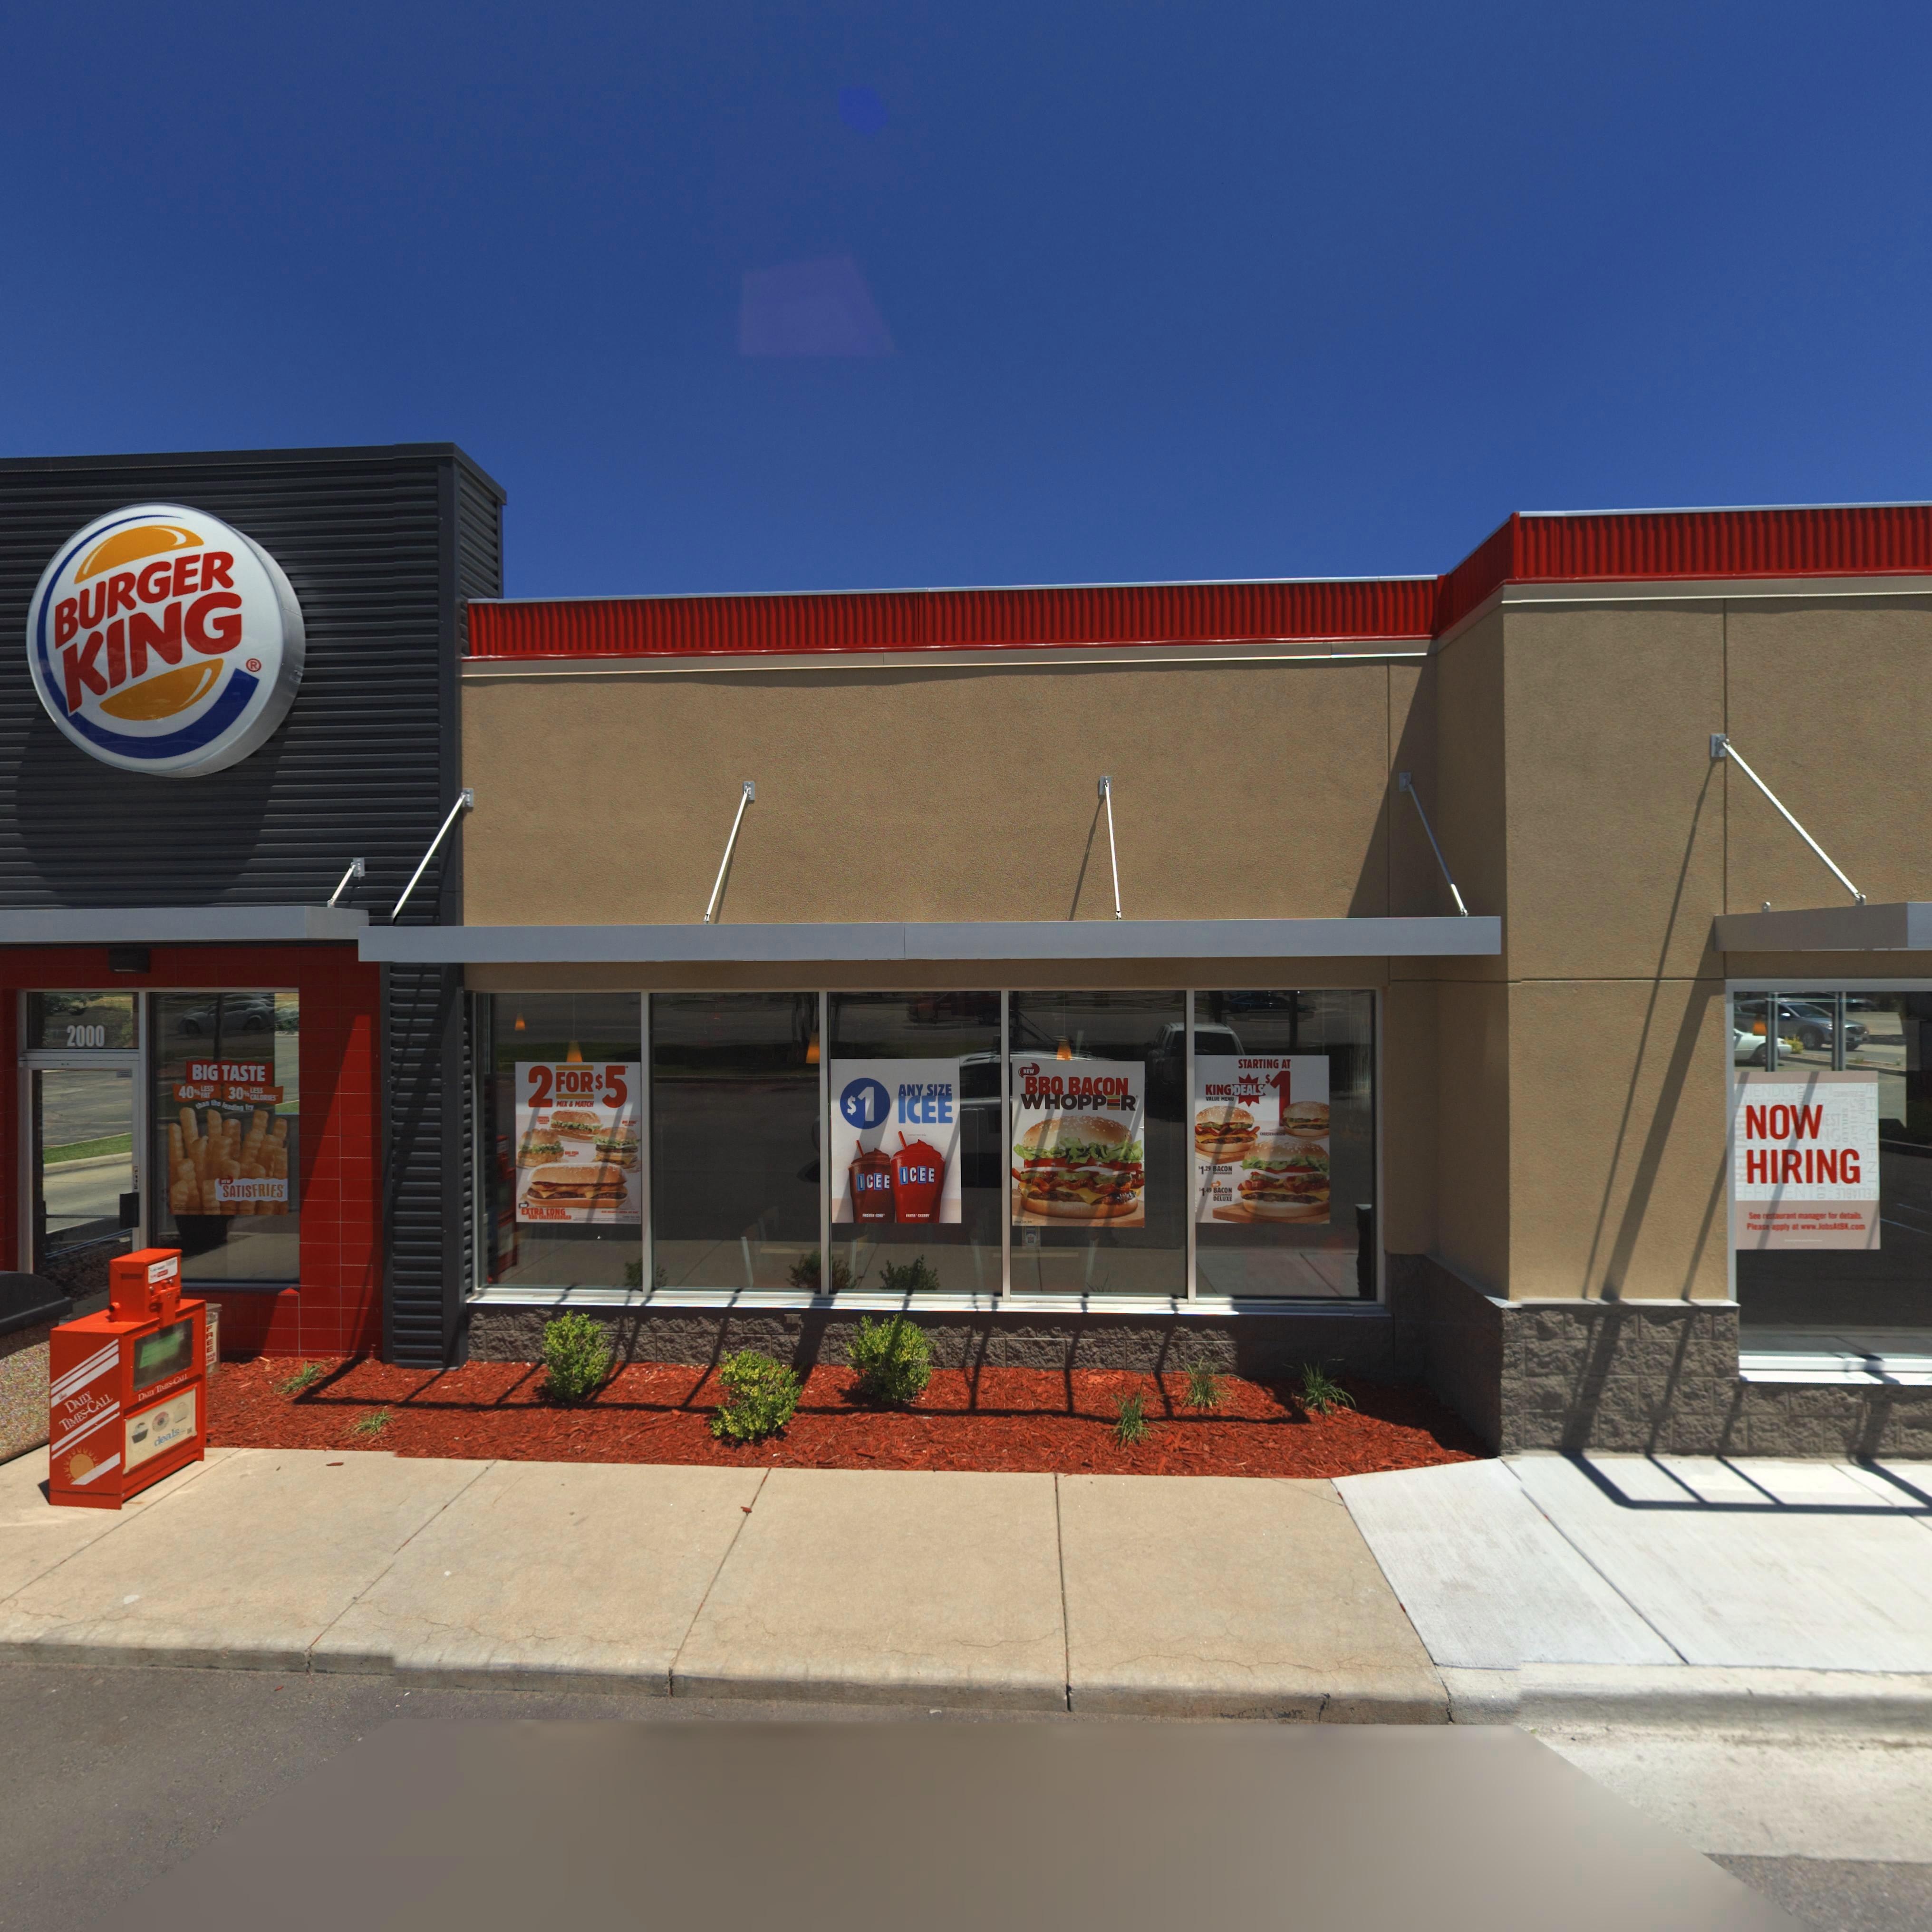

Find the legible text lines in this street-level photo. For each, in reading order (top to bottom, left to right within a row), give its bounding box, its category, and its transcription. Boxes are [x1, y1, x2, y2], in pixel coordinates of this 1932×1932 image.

[54, 550, 235, 649] BusinessName: BURGER
[61, 590, 243, 716] BusinessName: KING
[64, 1024, 105, 1046] StreetNumber: 2000